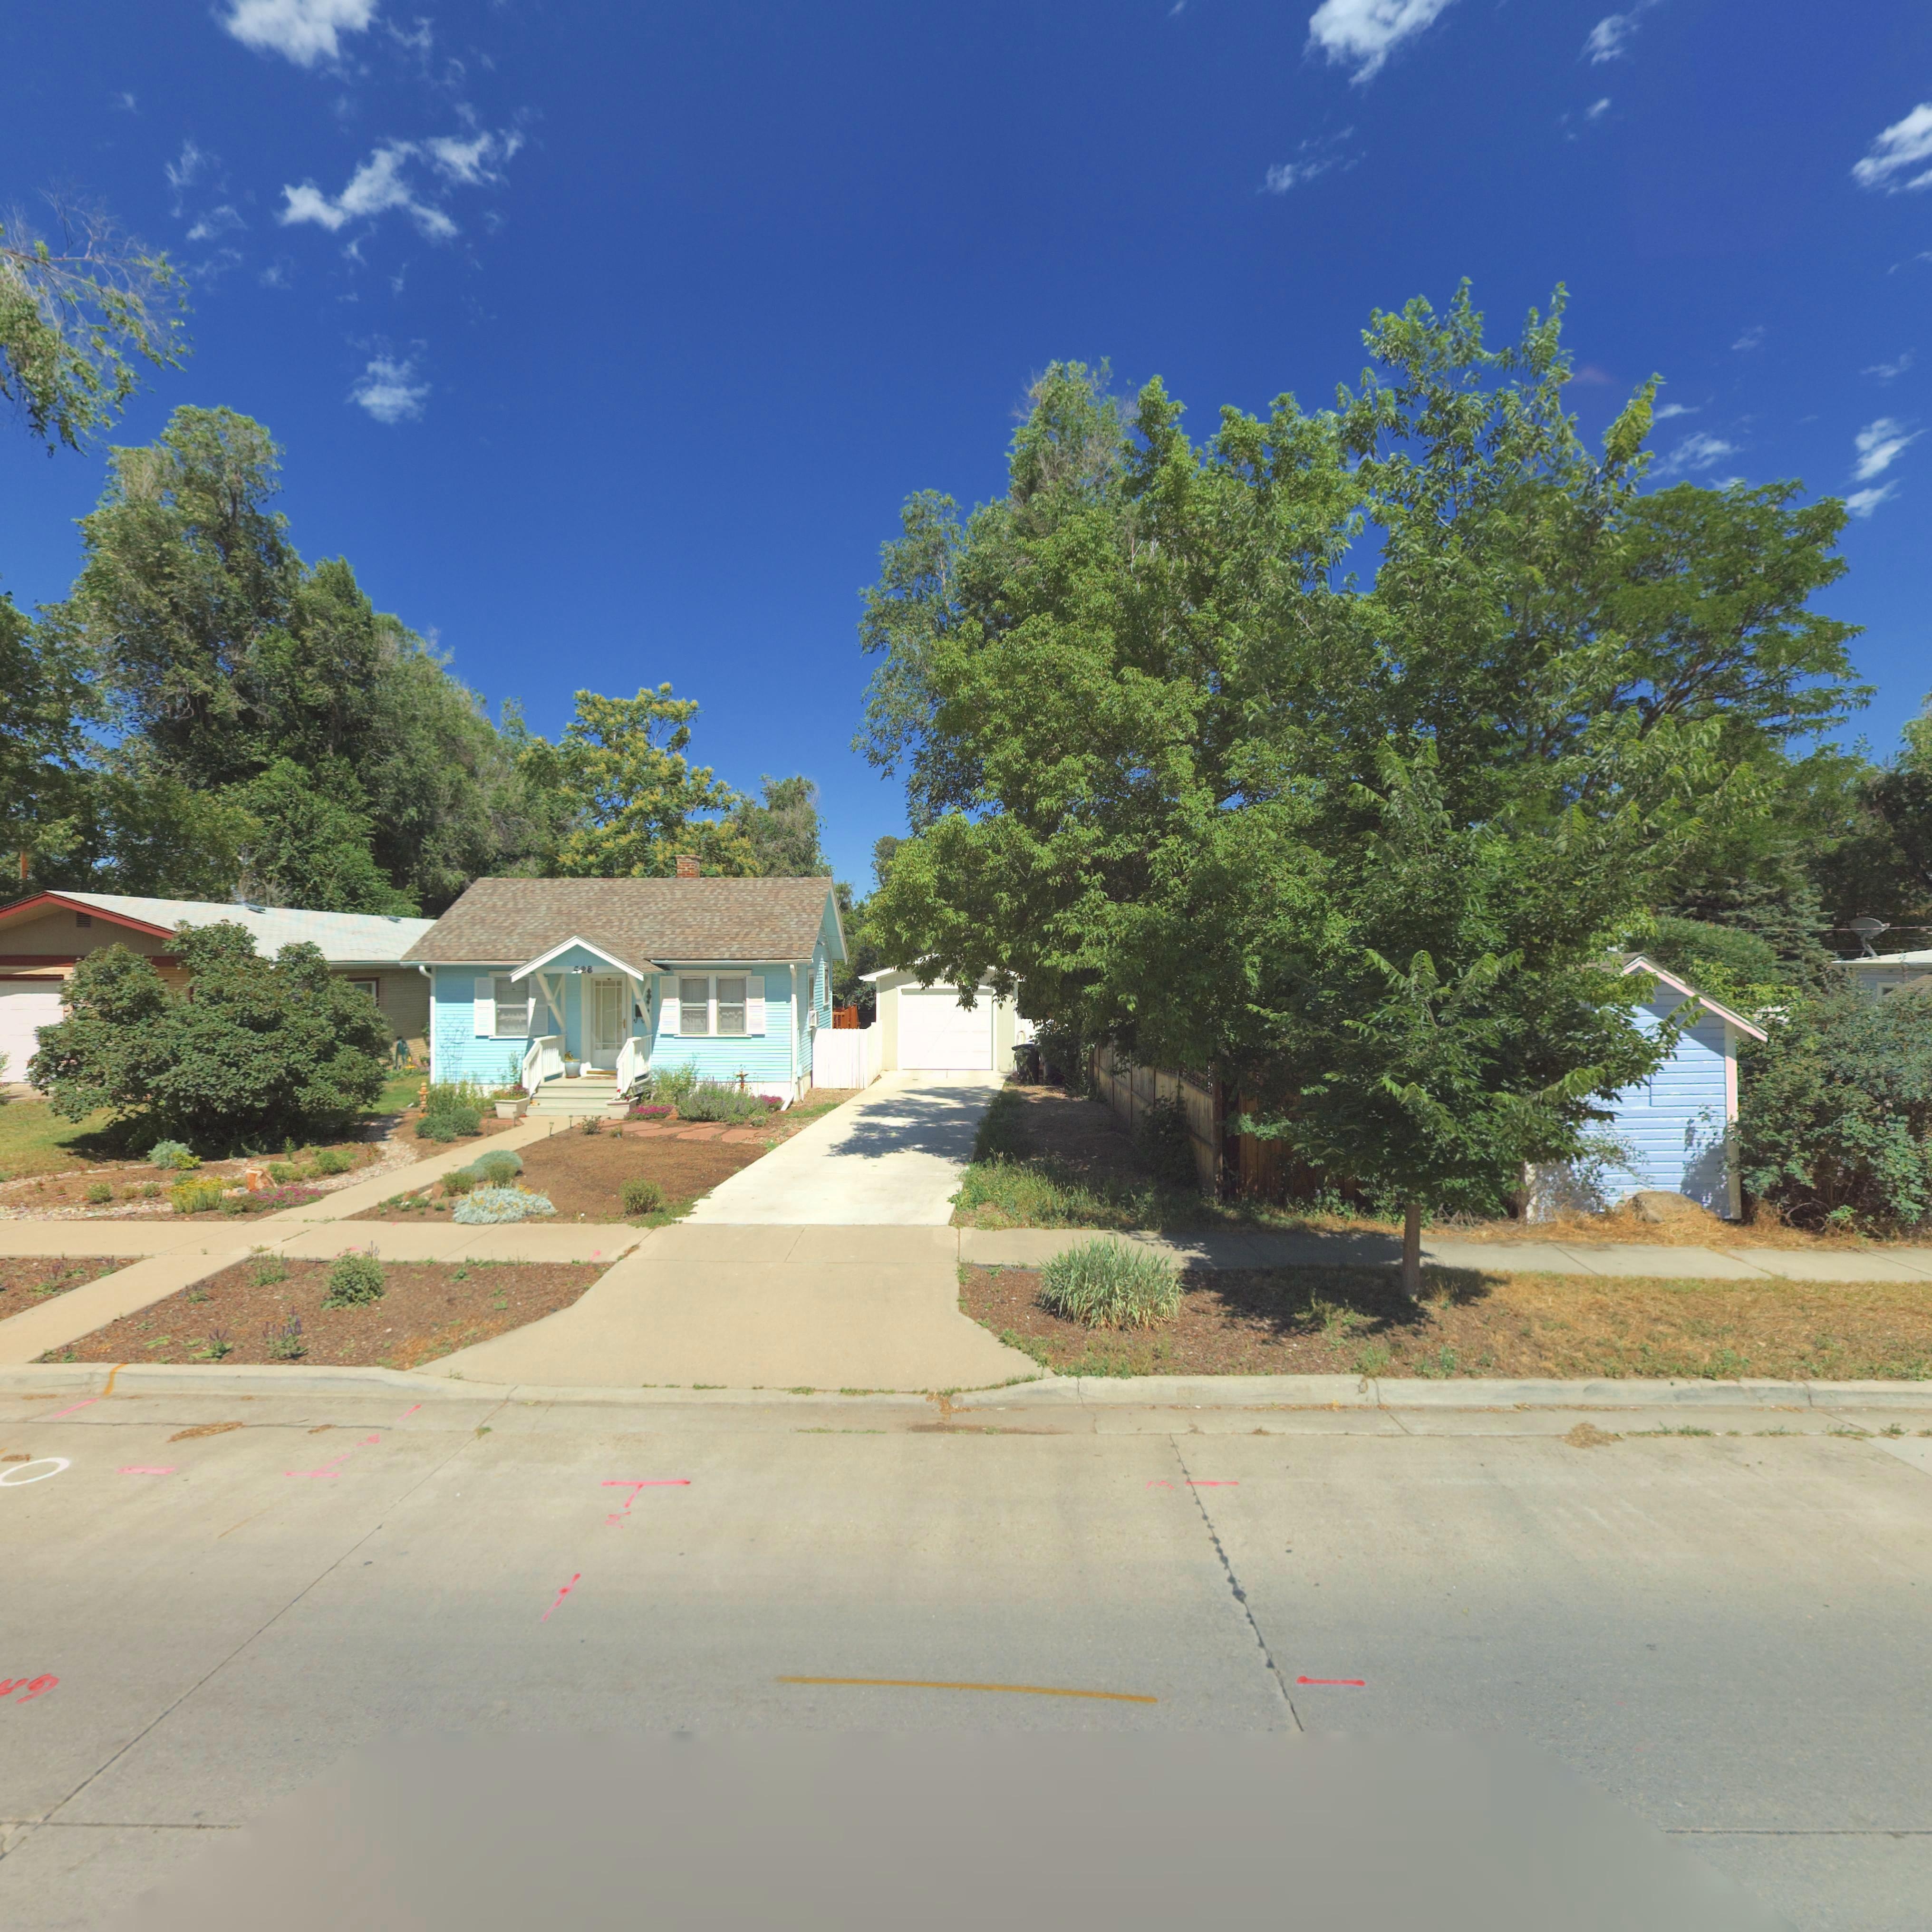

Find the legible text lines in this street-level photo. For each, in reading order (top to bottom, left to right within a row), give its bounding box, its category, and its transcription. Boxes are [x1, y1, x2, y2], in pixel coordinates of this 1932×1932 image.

[572, 965, 593, 974] StreetNumber: 428